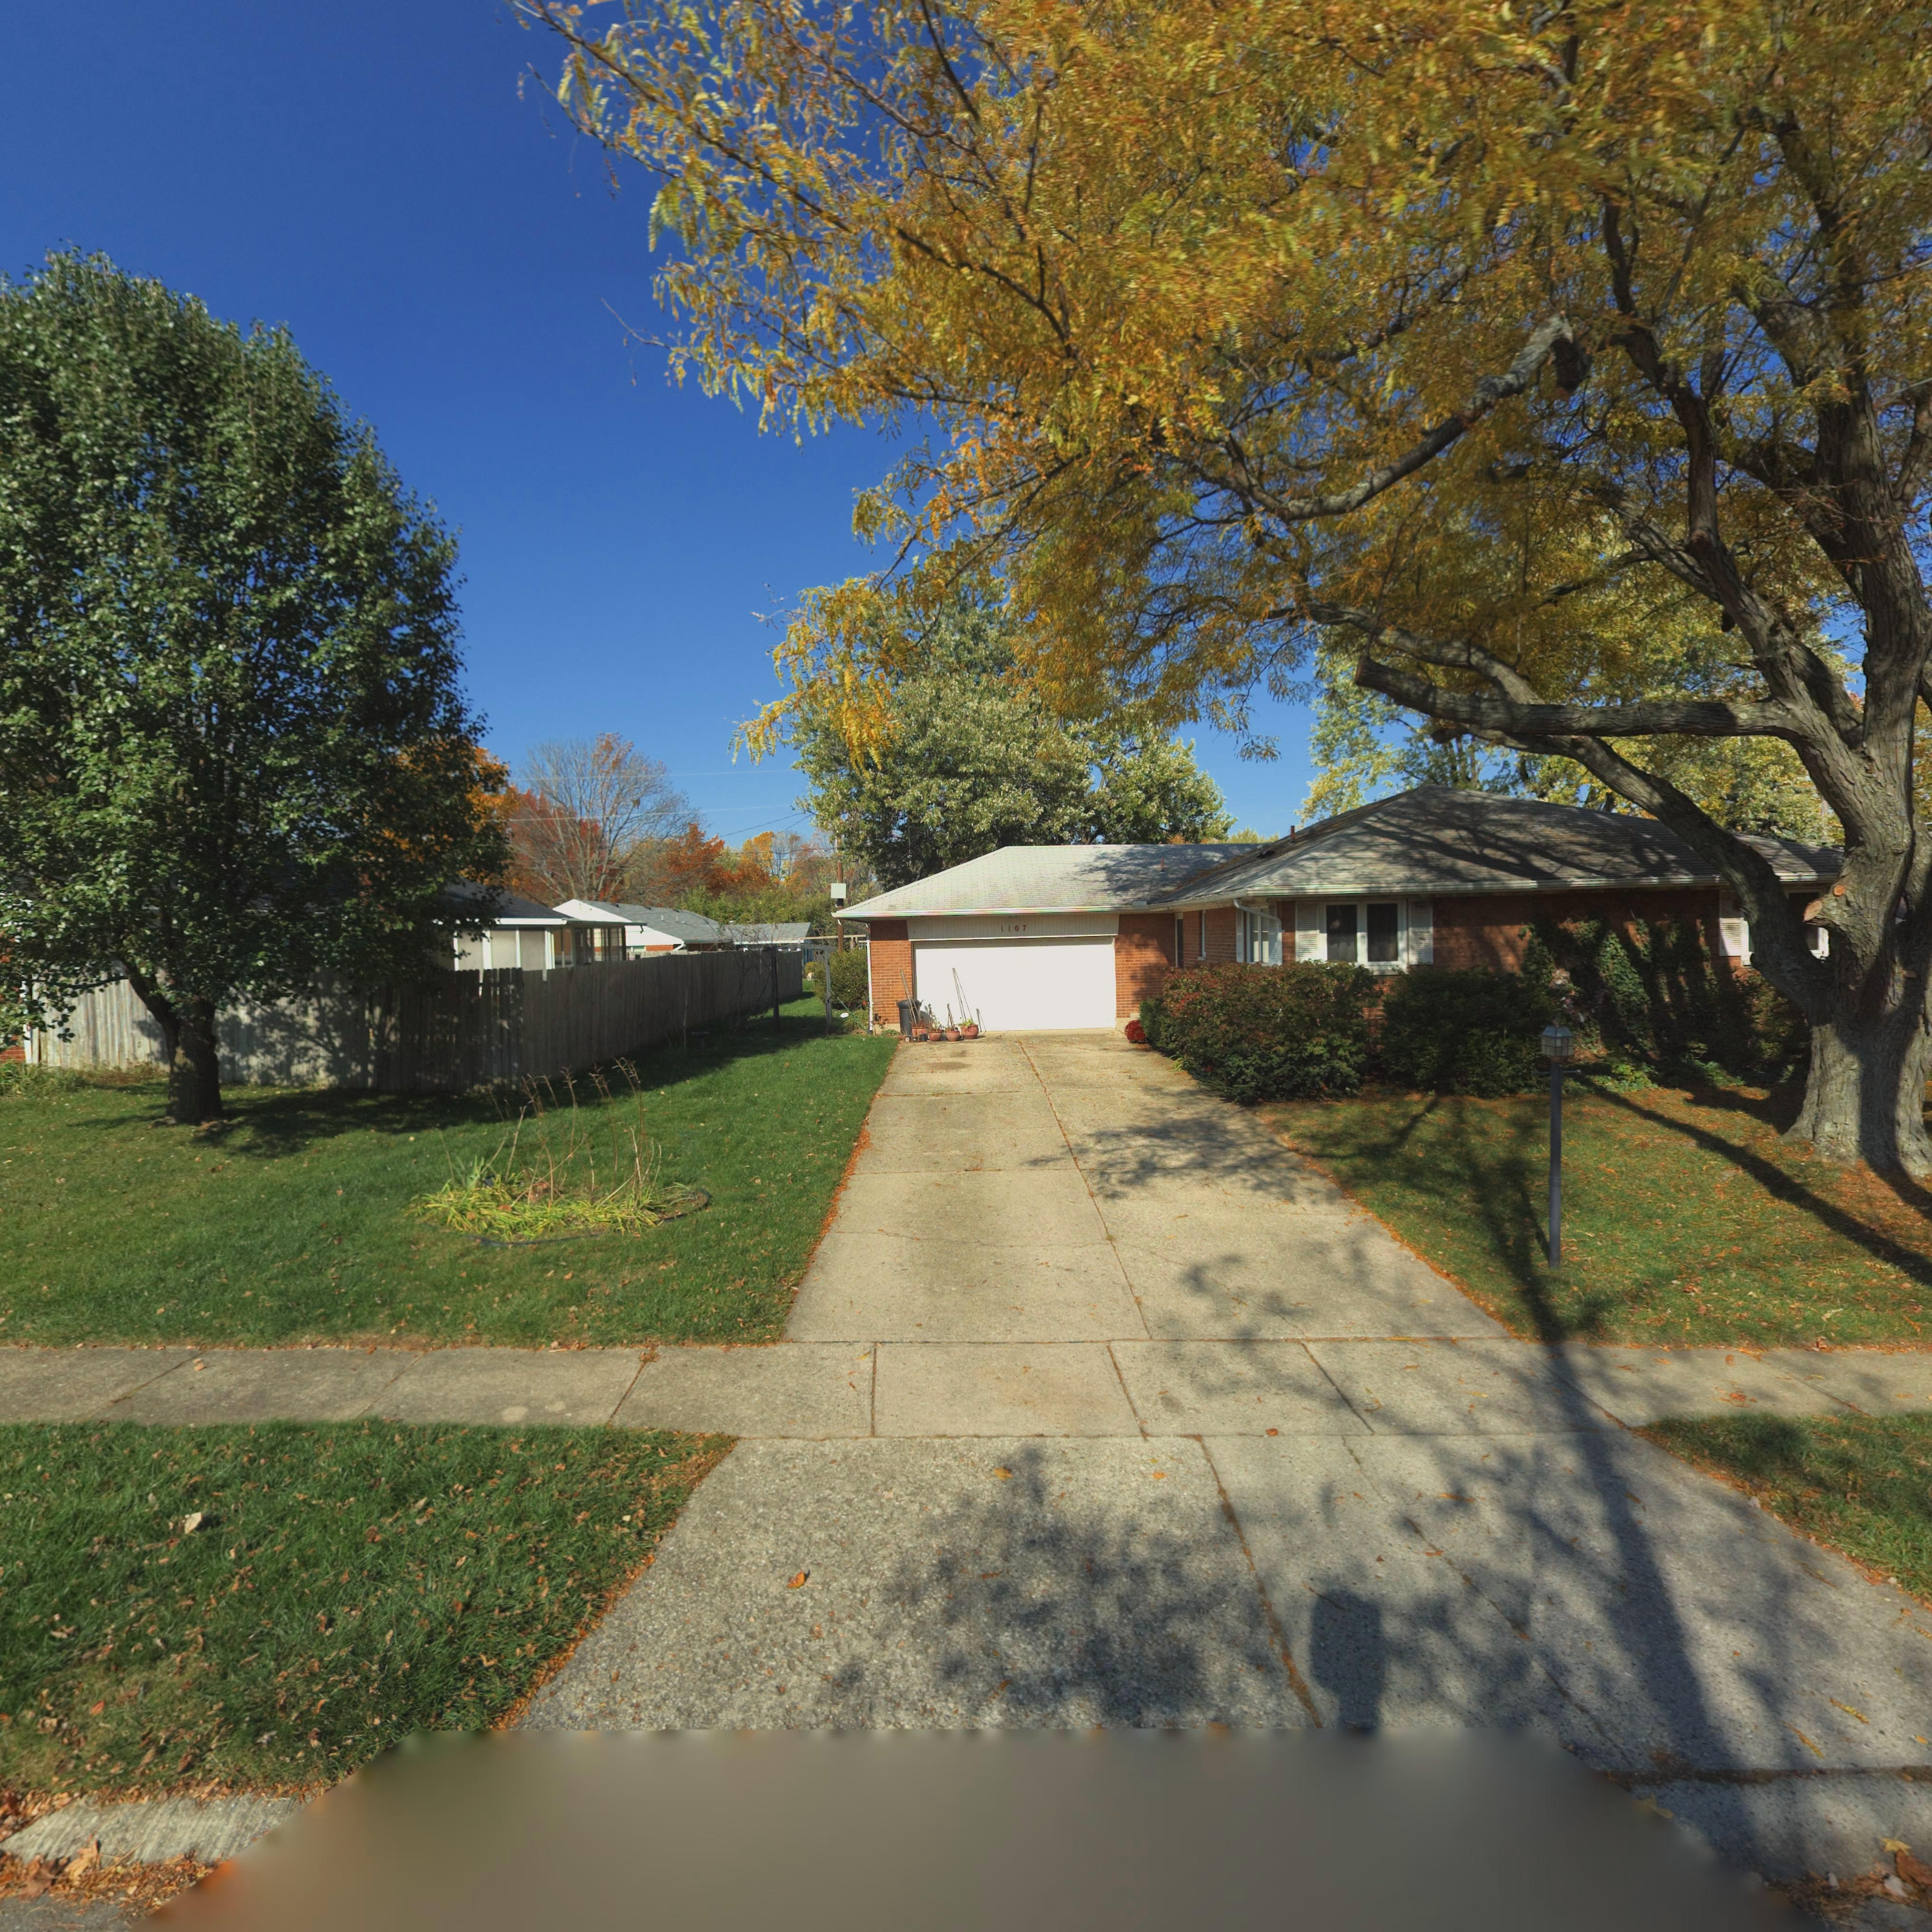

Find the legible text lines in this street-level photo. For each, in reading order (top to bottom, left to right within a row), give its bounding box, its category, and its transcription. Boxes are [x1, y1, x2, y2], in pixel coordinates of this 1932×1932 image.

[1000, 924, 1029, 933] StreetNumber: 1107